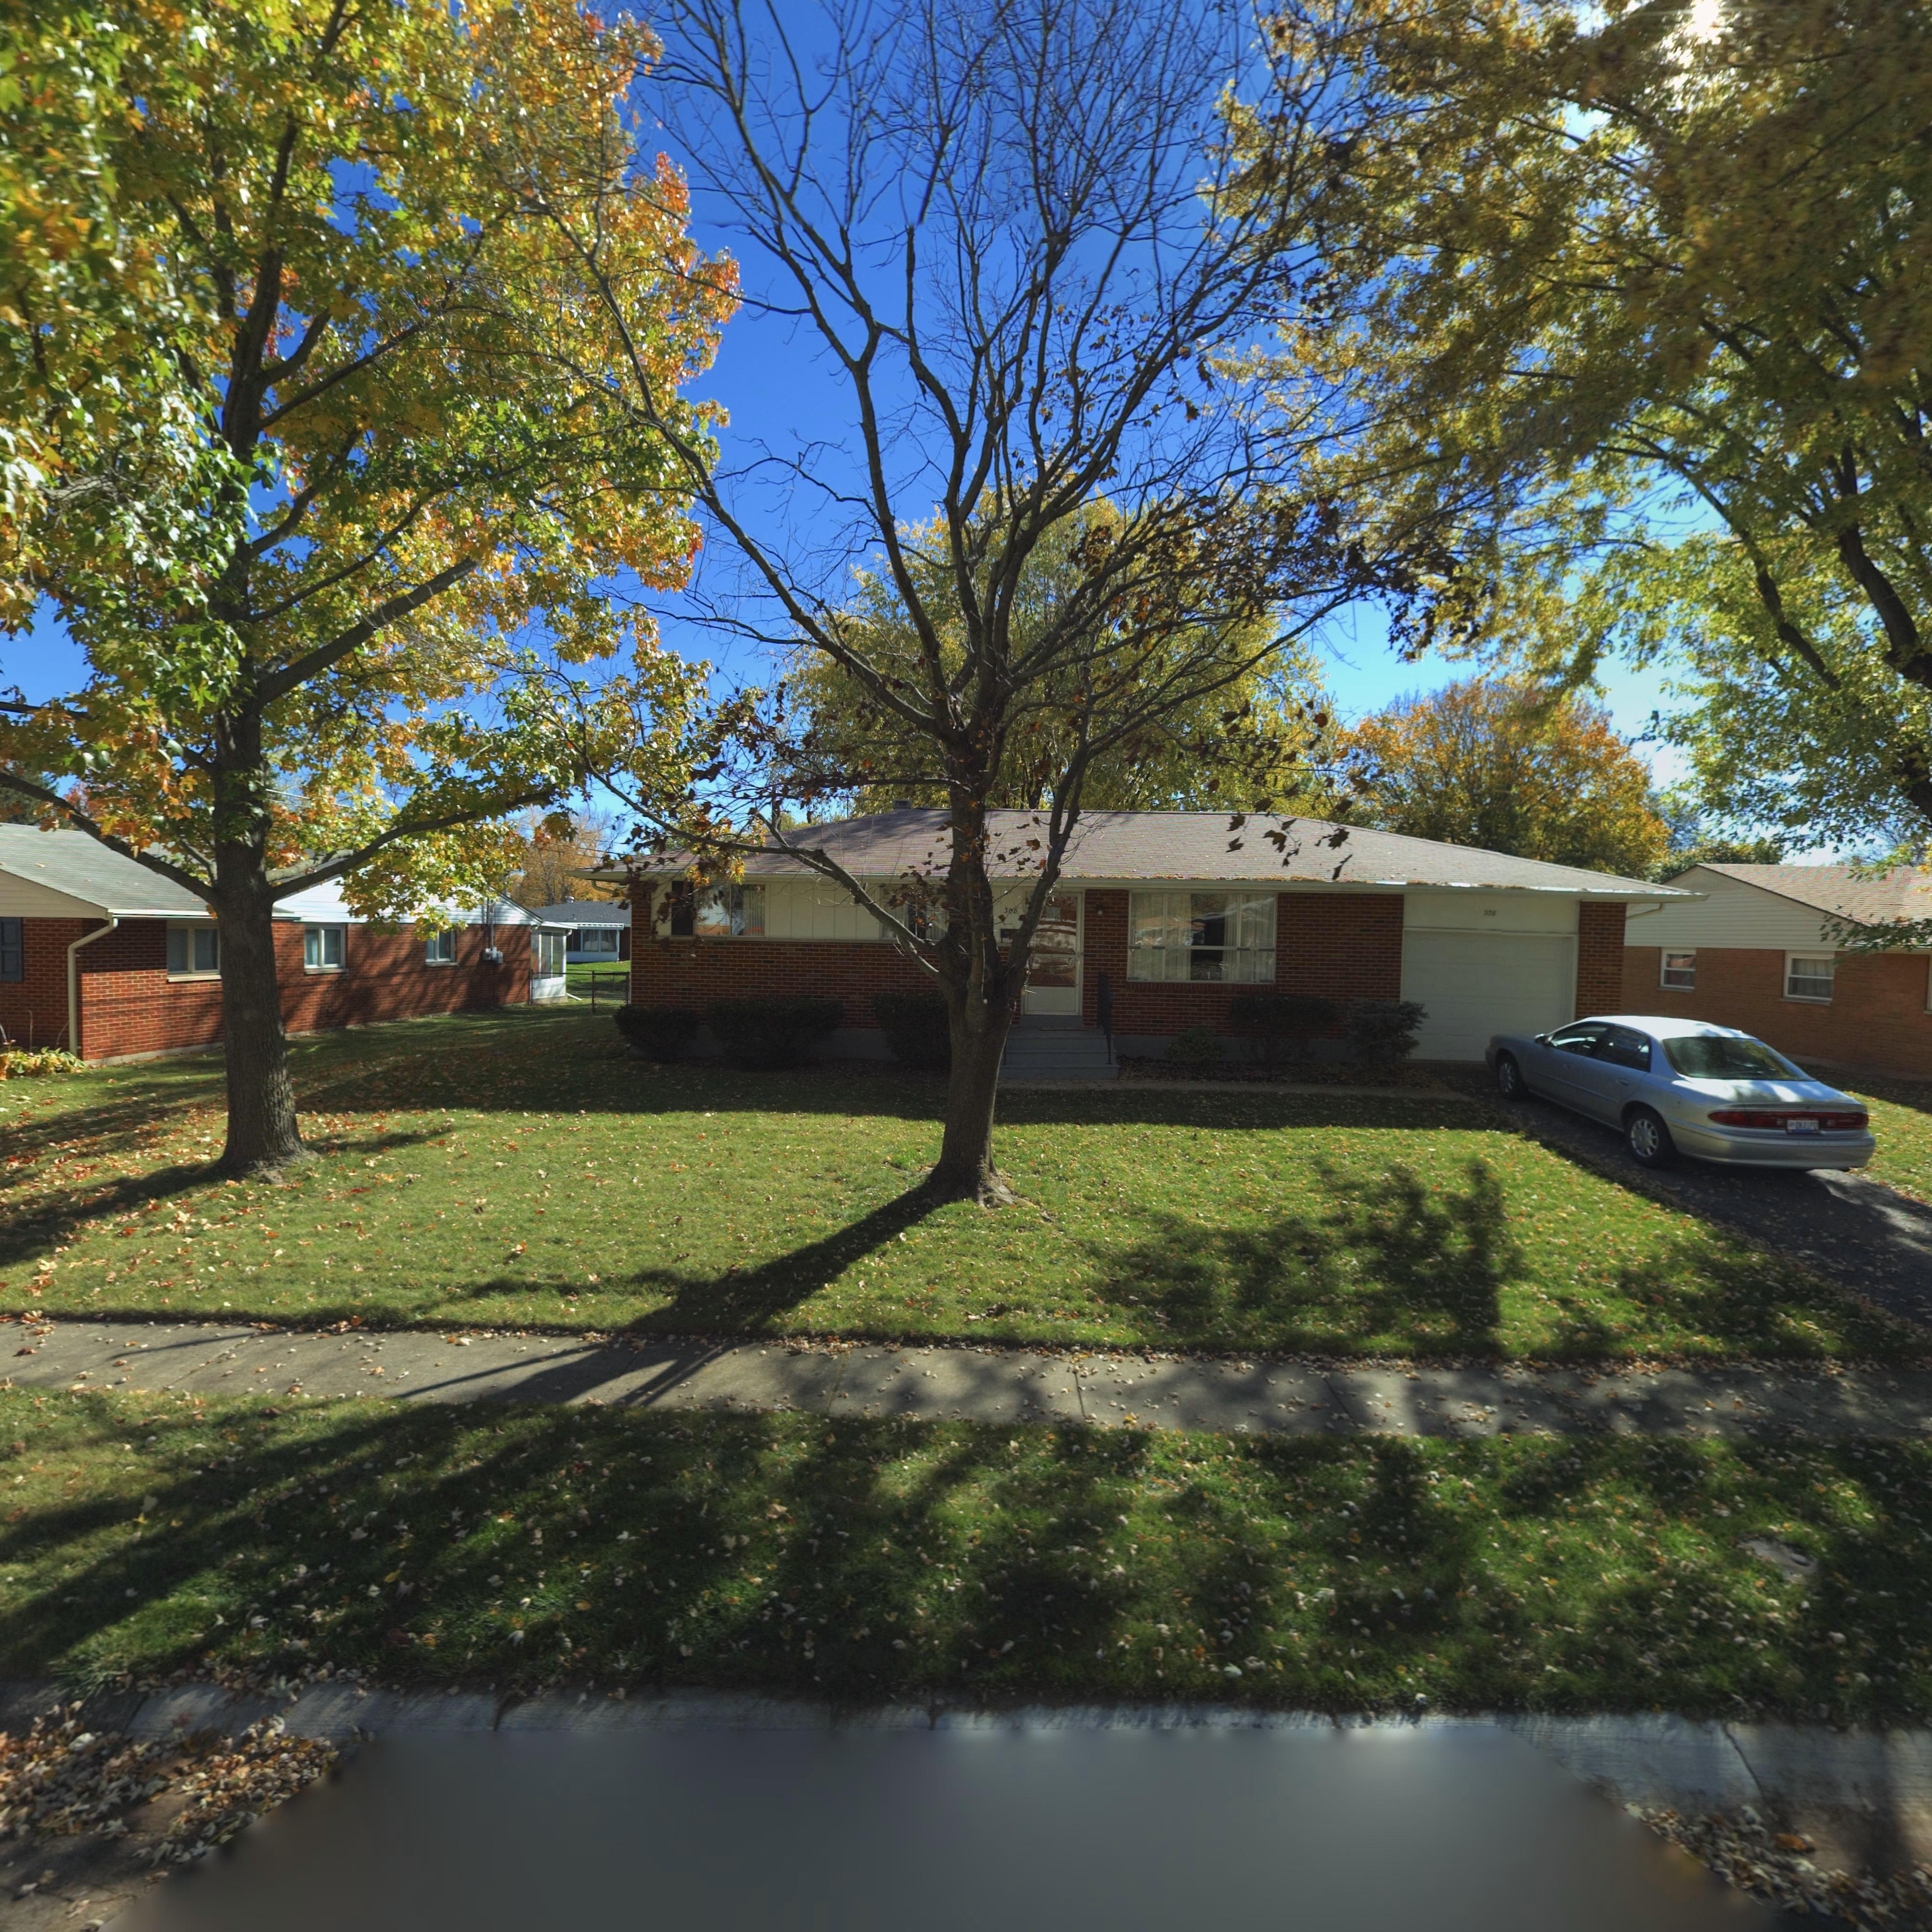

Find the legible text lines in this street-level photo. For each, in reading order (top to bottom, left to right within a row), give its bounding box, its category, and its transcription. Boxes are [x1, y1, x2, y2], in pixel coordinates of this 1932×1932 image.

[1002, 907, 1019, 915] StreetNumber: 308
[1481, 908, 1498, 918] StreetNumber: *0*